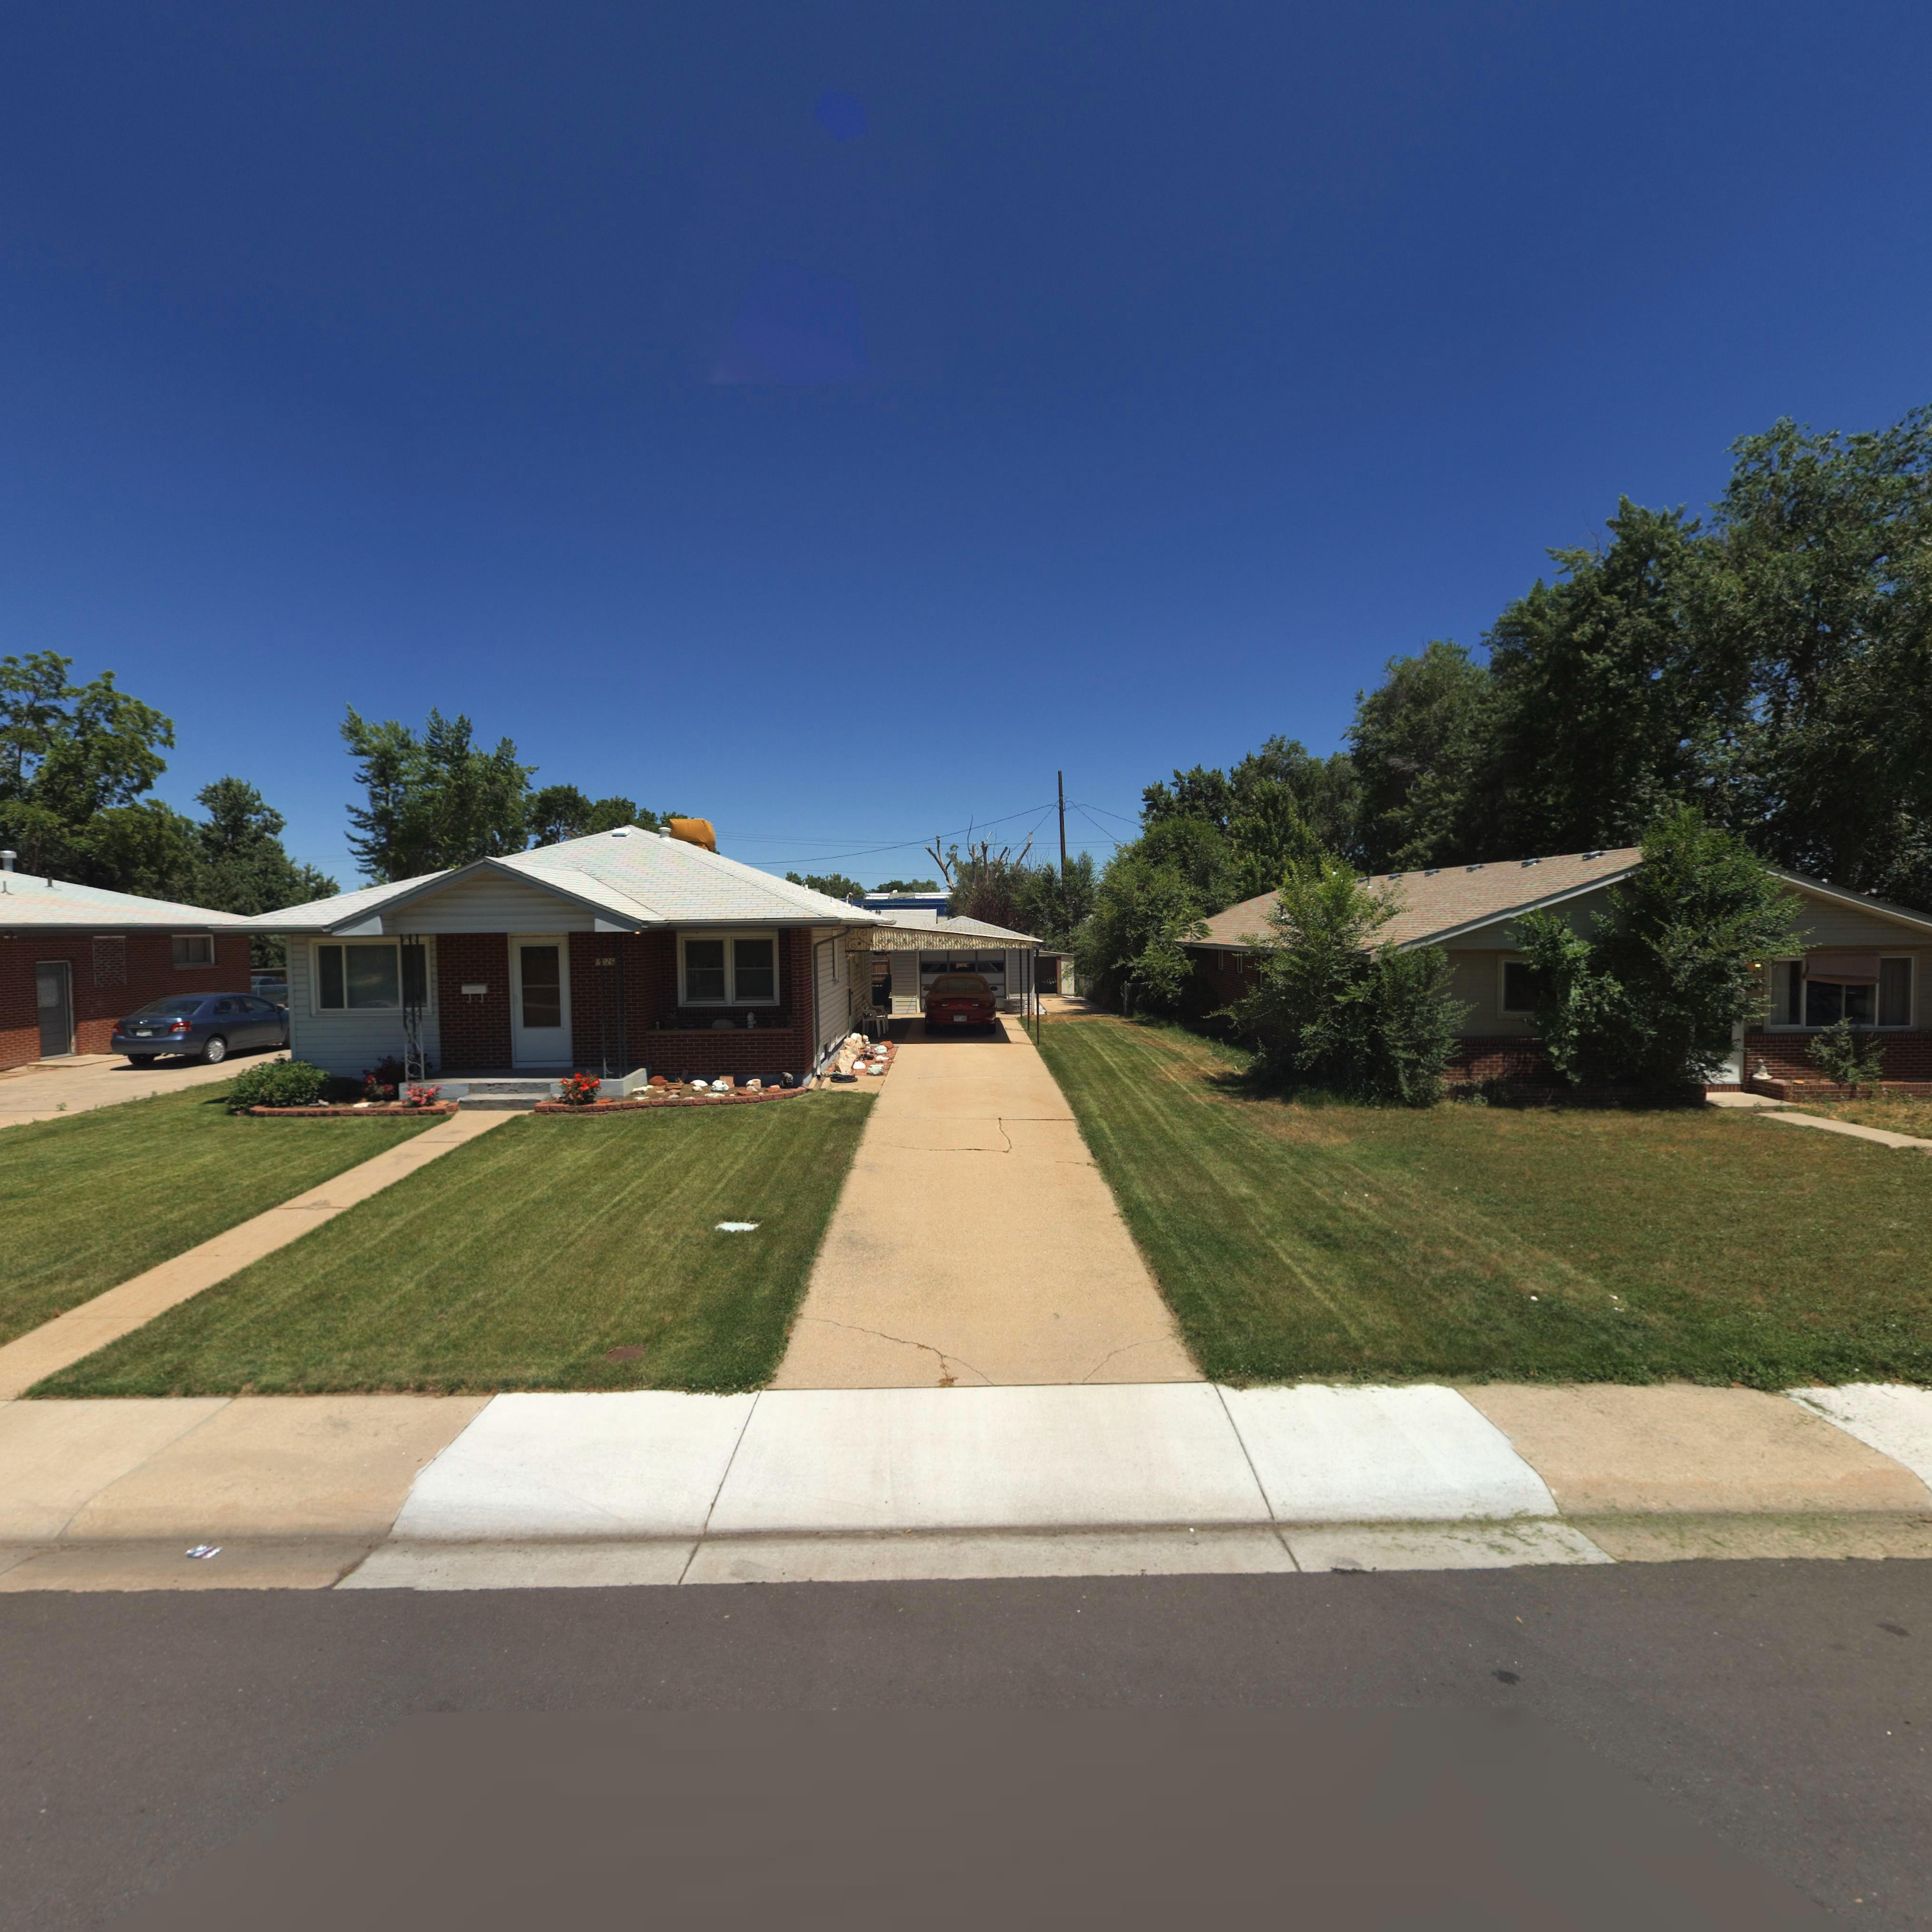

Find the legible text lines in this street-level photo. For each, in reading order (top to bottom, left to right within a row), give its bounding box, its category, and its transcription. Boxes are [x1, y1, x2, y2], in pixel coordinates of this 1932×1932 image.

[596, 958, 614, 965] StreetNumber: *026